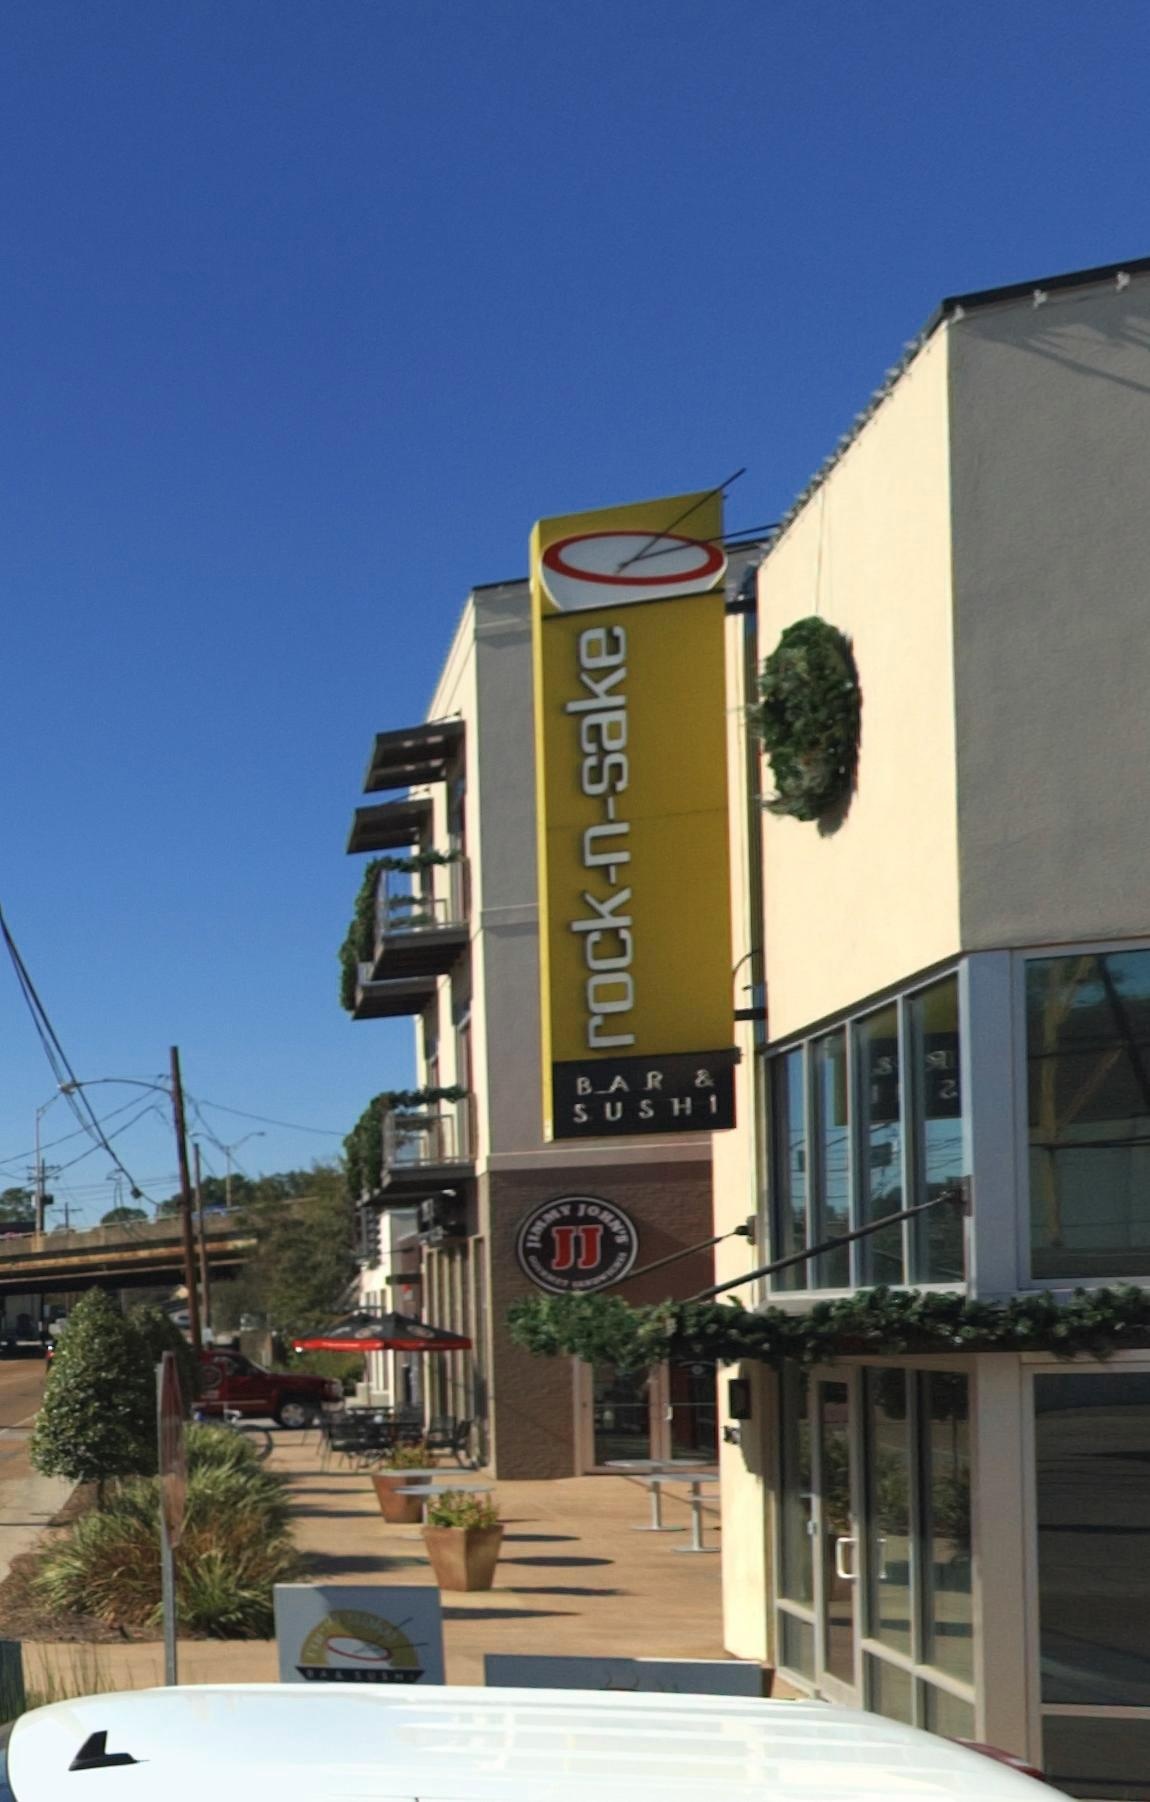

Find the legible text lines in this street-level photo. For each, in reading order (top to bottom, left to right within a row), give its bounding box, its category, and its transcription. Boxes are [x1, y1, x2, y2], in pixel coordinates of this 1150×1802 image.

[565, 621, 638, 1051] BusinessName: rock-n-sake
[573, 1068, 666, 1098] None: BAR
[571, 1091, 721, 1127] None: SUSHI
[550, 1224, 602, 1269] None: JJ
[524, 1202, 632, 1251] BusinessName: JIMMY JOHN'S